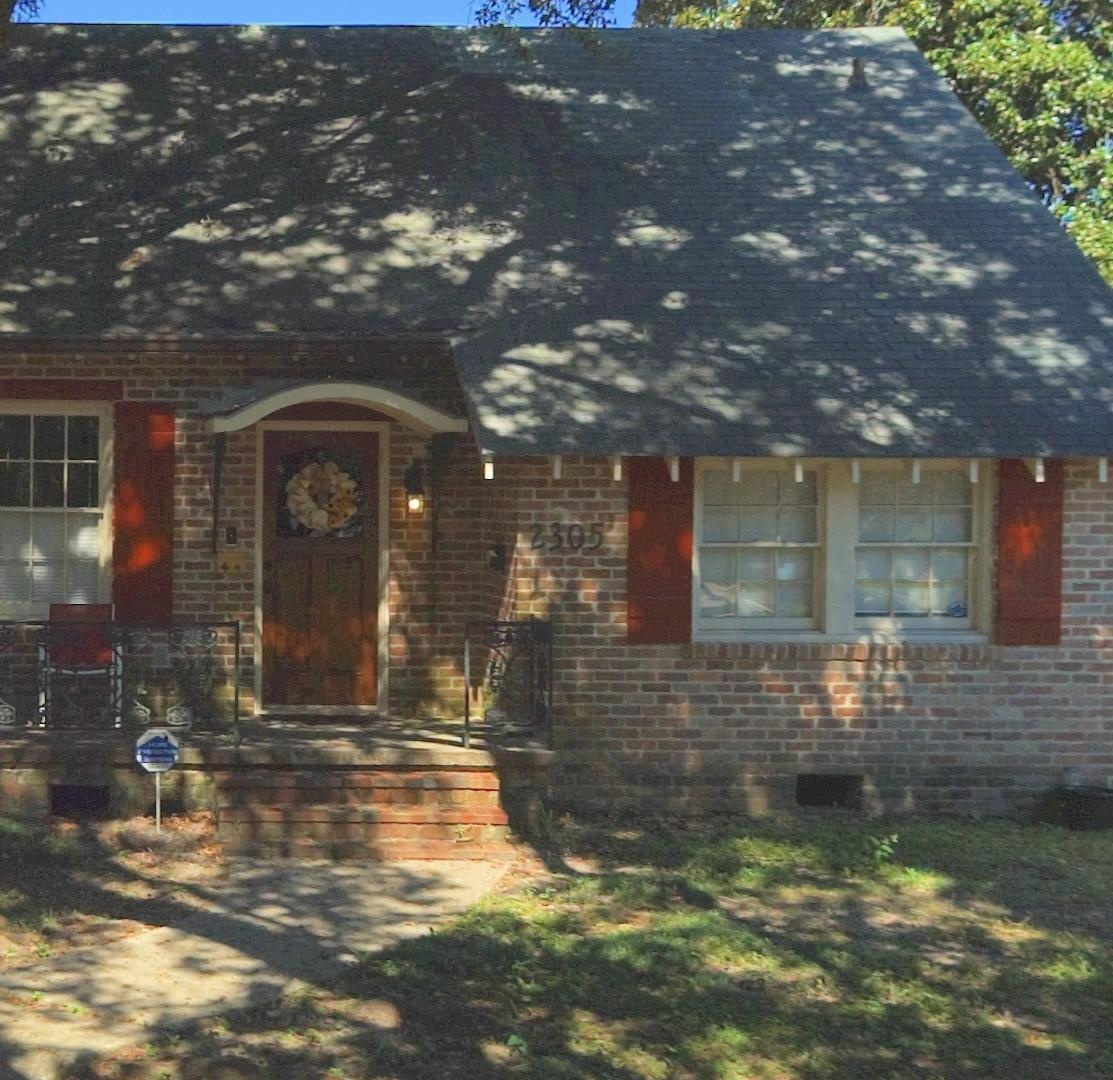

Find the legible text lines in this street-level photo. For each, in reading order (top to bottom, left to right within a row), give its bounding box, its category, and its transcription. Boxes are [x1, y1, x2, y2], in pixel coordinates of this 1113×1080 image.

[527, 520, 606, 554] StreetNumber: 2305